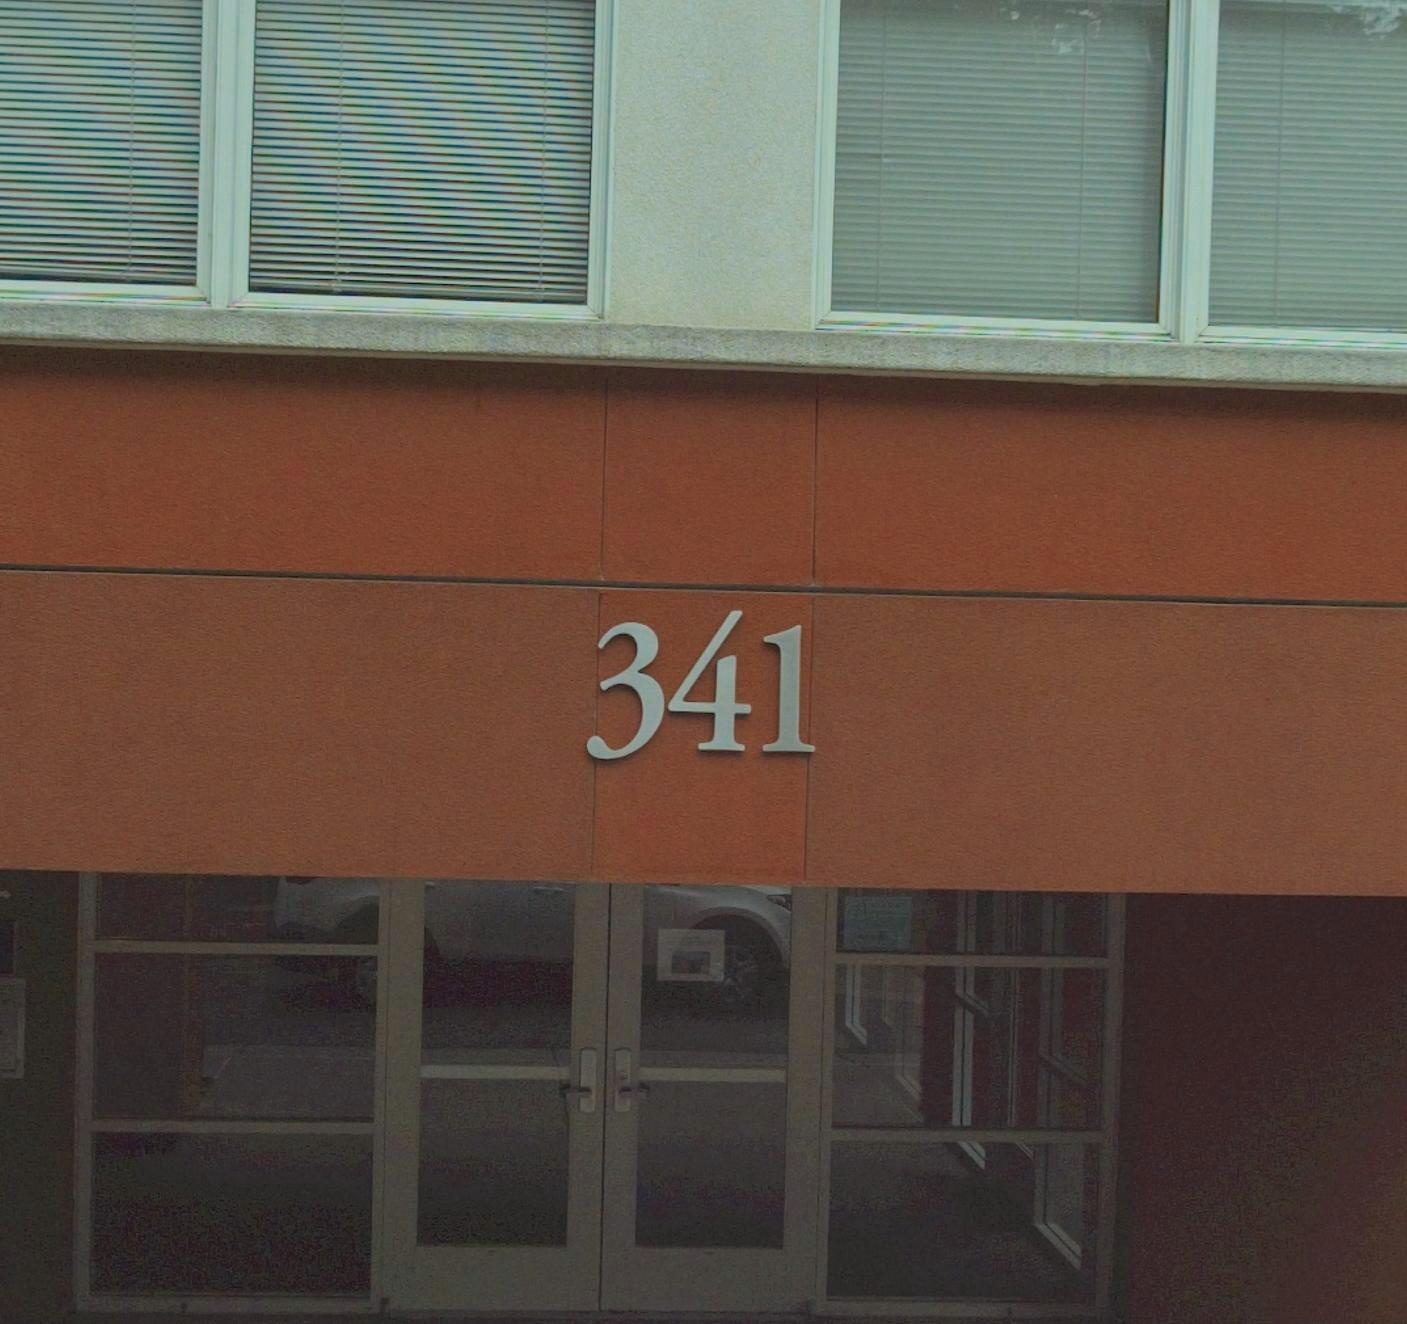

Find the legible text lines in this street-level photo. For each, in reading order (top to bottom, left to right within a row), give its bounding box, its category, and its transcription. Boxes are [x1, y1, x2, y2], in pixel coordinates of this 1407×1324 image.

[584, 608, 819, 763] StreetNumber: 341